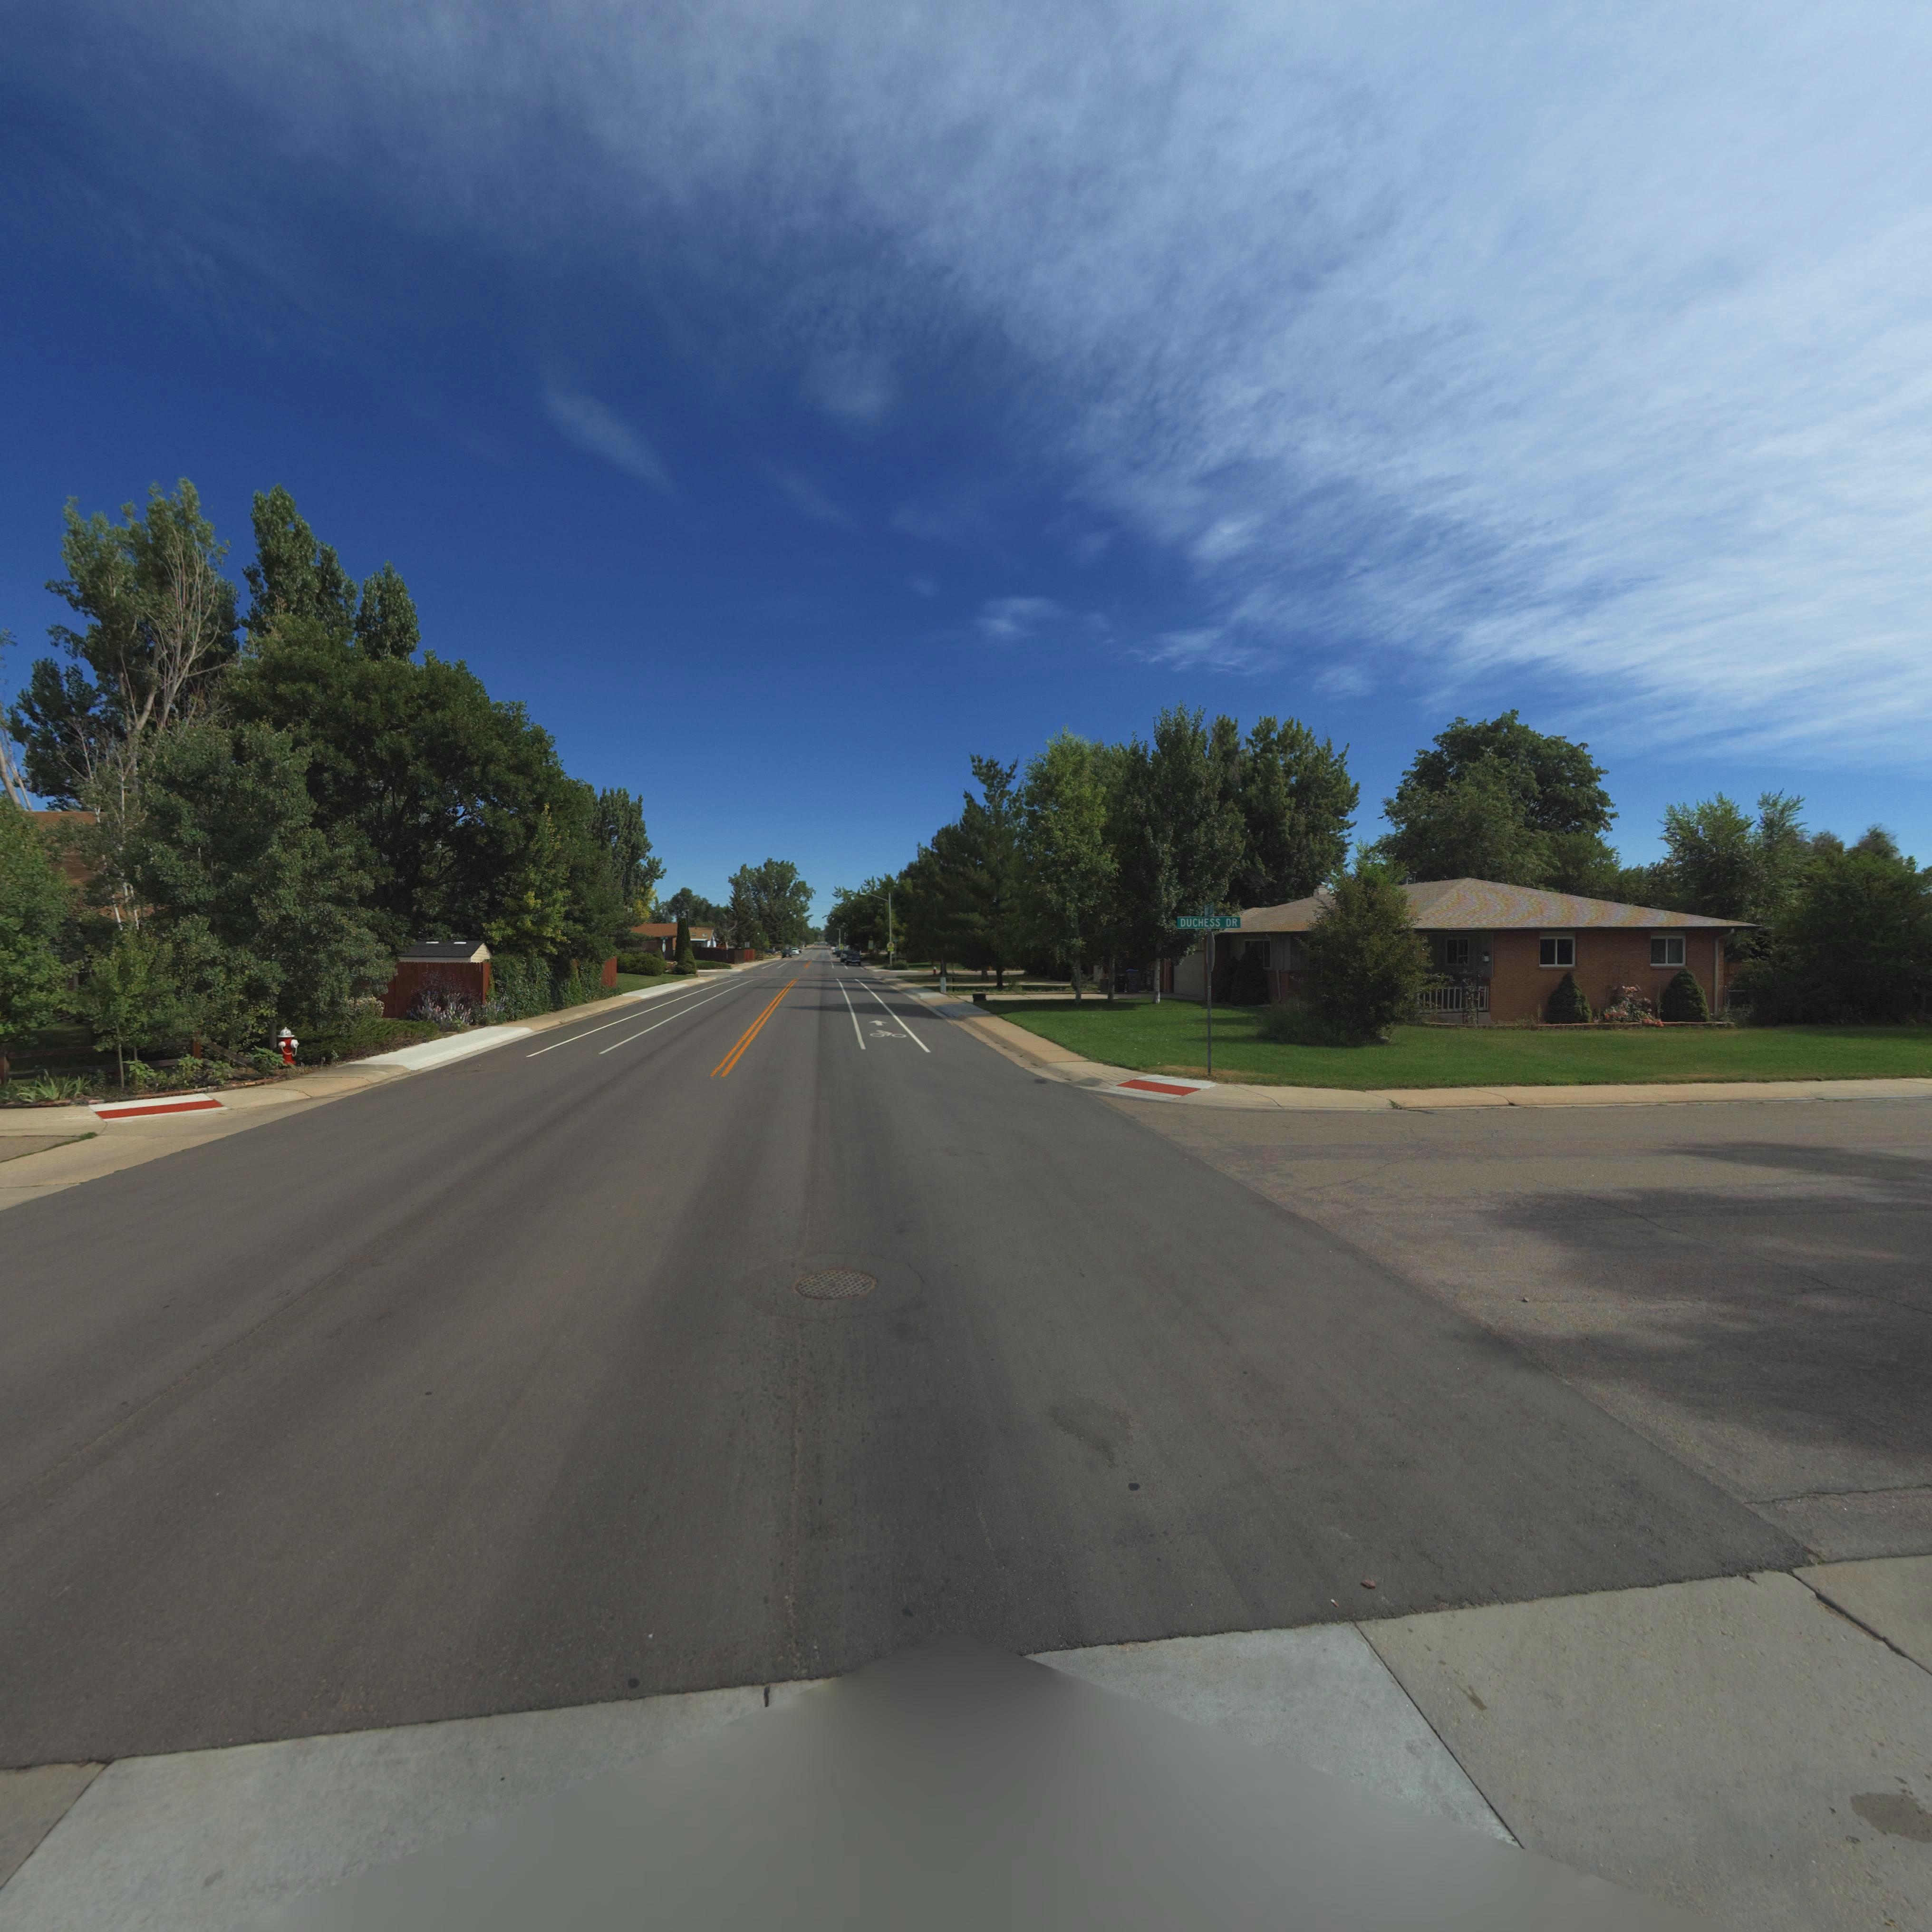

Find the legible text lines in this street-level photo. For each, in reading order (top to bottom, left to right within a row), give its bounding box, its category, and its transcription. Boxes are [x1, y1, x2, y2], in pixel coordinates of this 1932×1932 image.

[1180, 918, 1237, 927] StreetName: DUCHESS DR